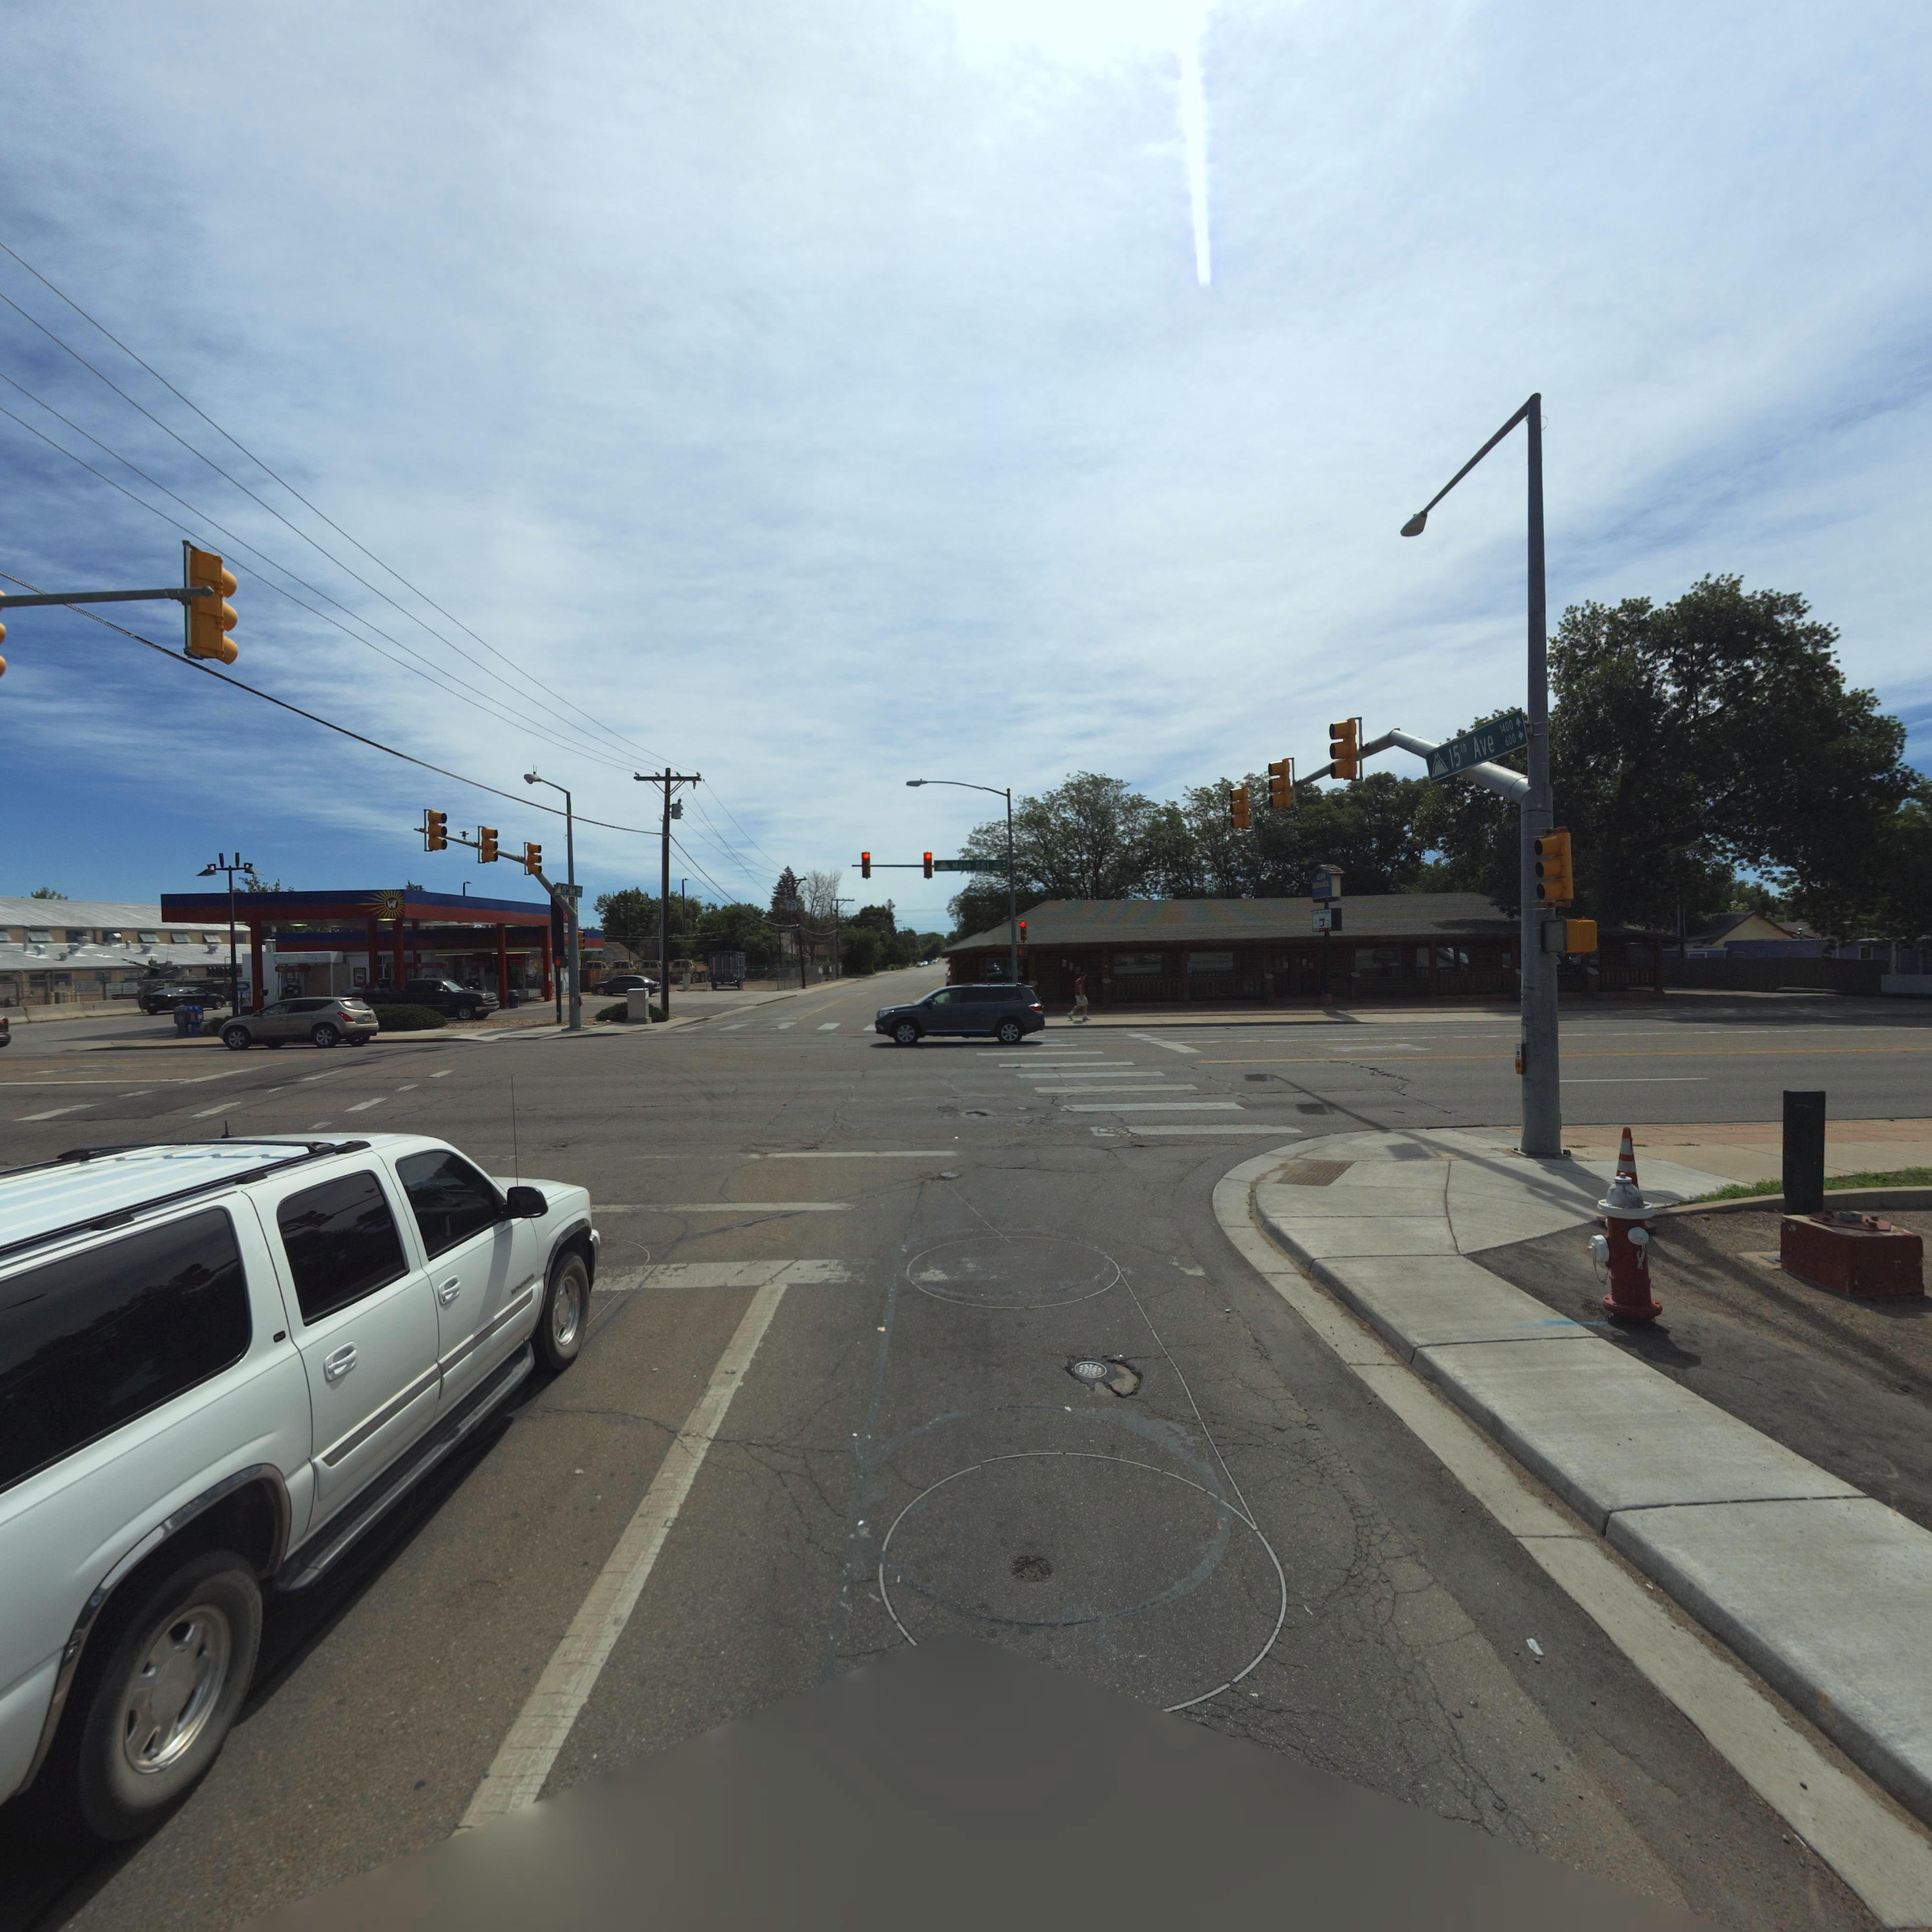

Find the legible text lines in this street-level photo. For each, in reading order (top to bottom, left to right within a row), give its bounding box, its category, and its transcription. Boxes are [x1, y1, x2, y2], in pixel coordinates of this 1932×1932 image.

[1499, 719, 1514, 734] StreetNumberRange: 1400
[1504, 729, 1525, 747] StreetNumberRange: 600->
[1448, 734, 1495, 769] StreetName: 15th Ave
[951, 860, 990, 870] StreetName: Main SSt
[994, 860, 1001, 865] StreetNumberRange: 500
[1312, 880, 1329, 889] BusinessName: M**C****CAL
[562, 885, 576, 896] StreetName: 15** Ave
[386, 900, 396, 908] BusinessName: W